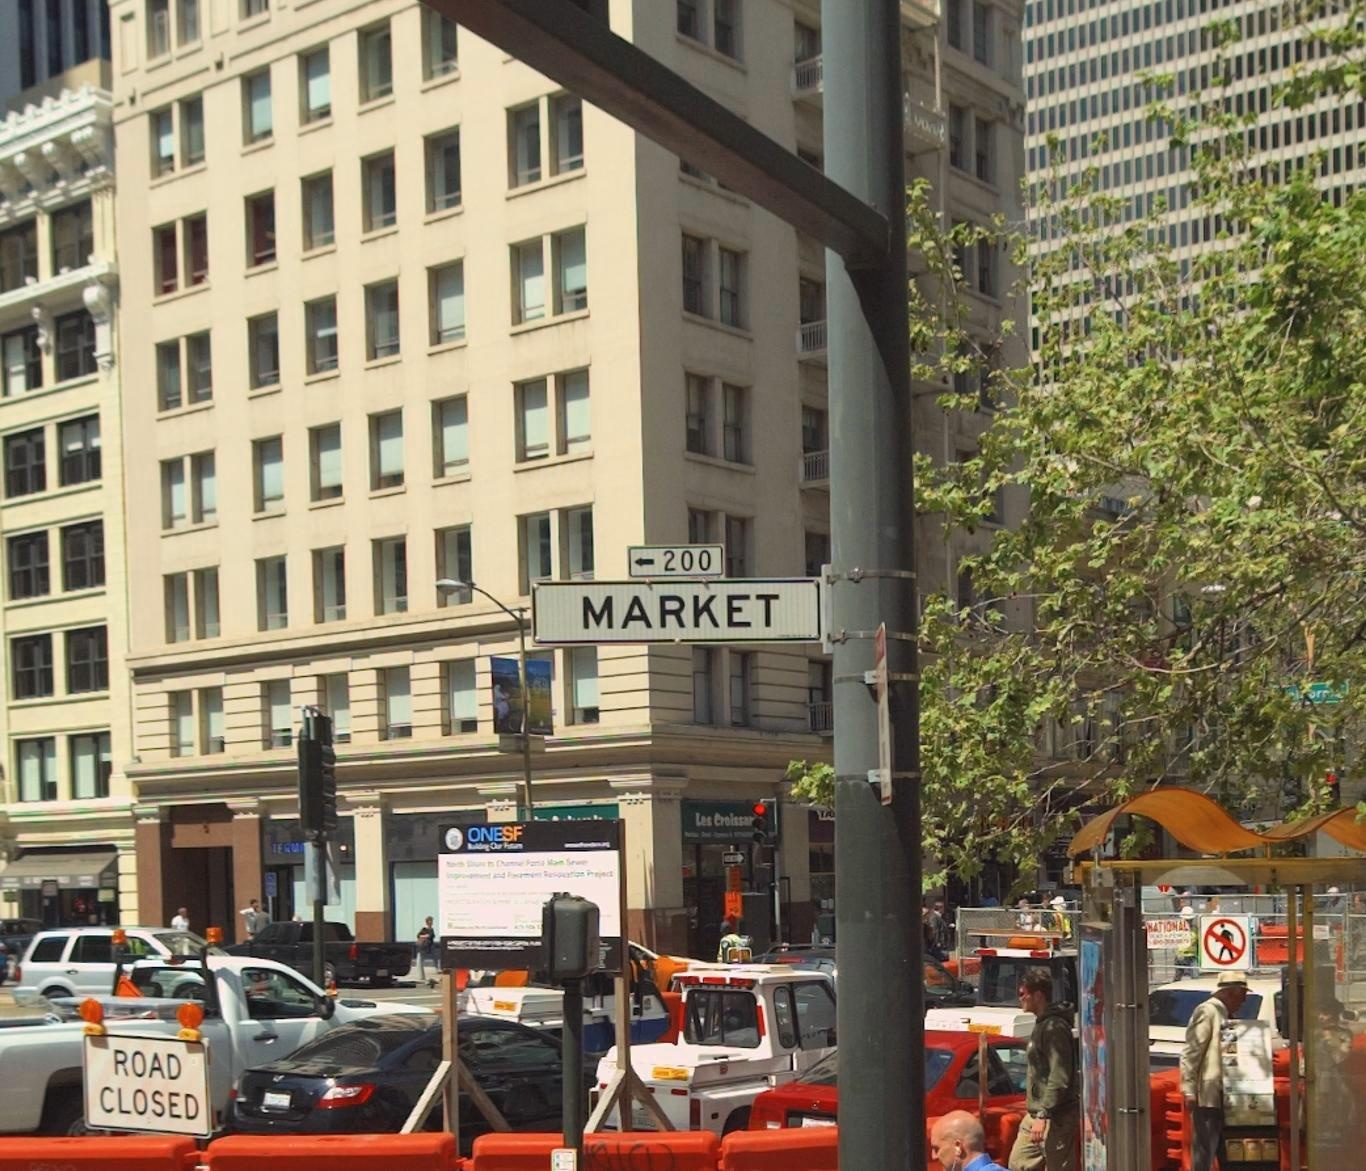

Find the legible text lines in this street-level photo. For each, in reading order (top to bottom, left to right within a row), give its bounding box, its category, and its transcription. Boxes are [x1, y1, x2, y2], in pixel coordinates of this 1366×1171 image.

[634, 548, 713, 571] StreetNumberRange: <-200
[580, 592, 785, 633] StreetName: MARKET
[694, 811, 730, 827] None: Les Cro
[466, 825, 522, 843] None: ONESF
[1146, 920, 1190, 934] None: NATIONAL
[107, 1047, 184, 1084] None: ROAD
[97, 1082, 199, 1122] None: CLOSED